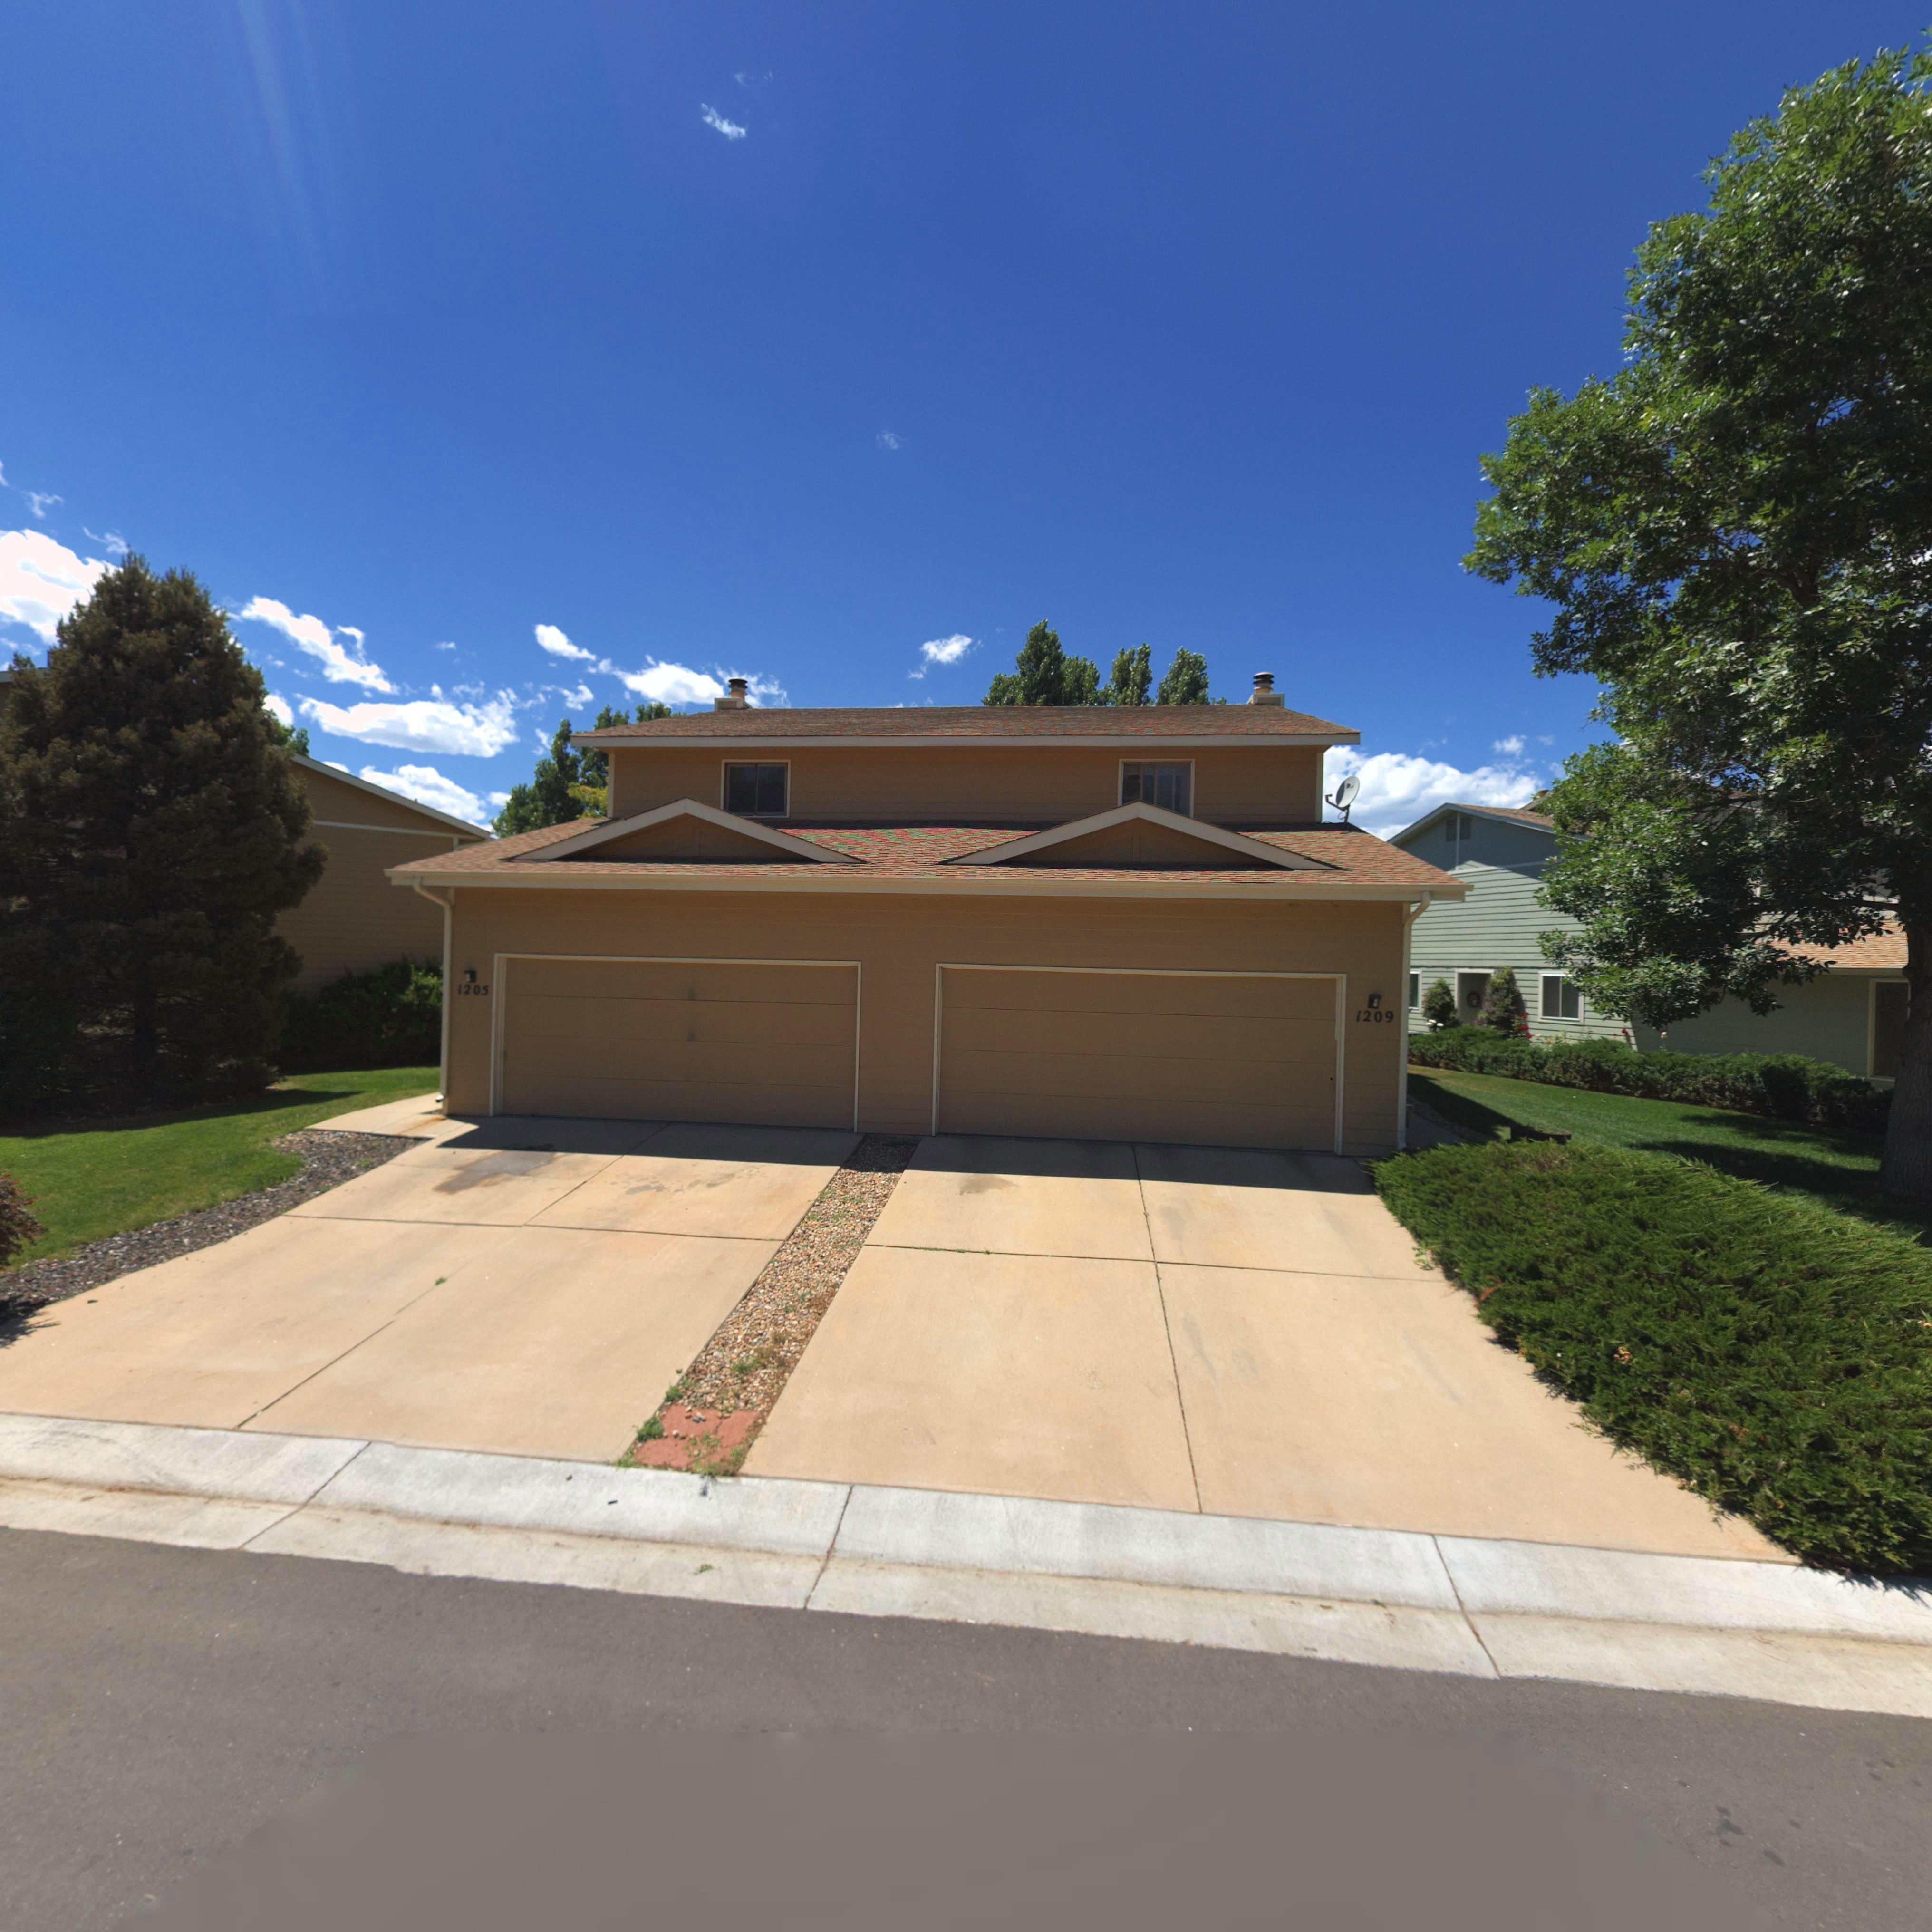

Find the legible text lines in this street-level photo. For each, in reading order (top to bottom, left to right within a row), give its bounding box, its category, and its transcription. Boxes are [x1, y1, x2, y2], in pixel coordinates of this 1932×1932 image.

[457, 984, 489, 996] StreetNumber: 1205
[1355, 1009, 1394, 1024] StreetNumber: 1209